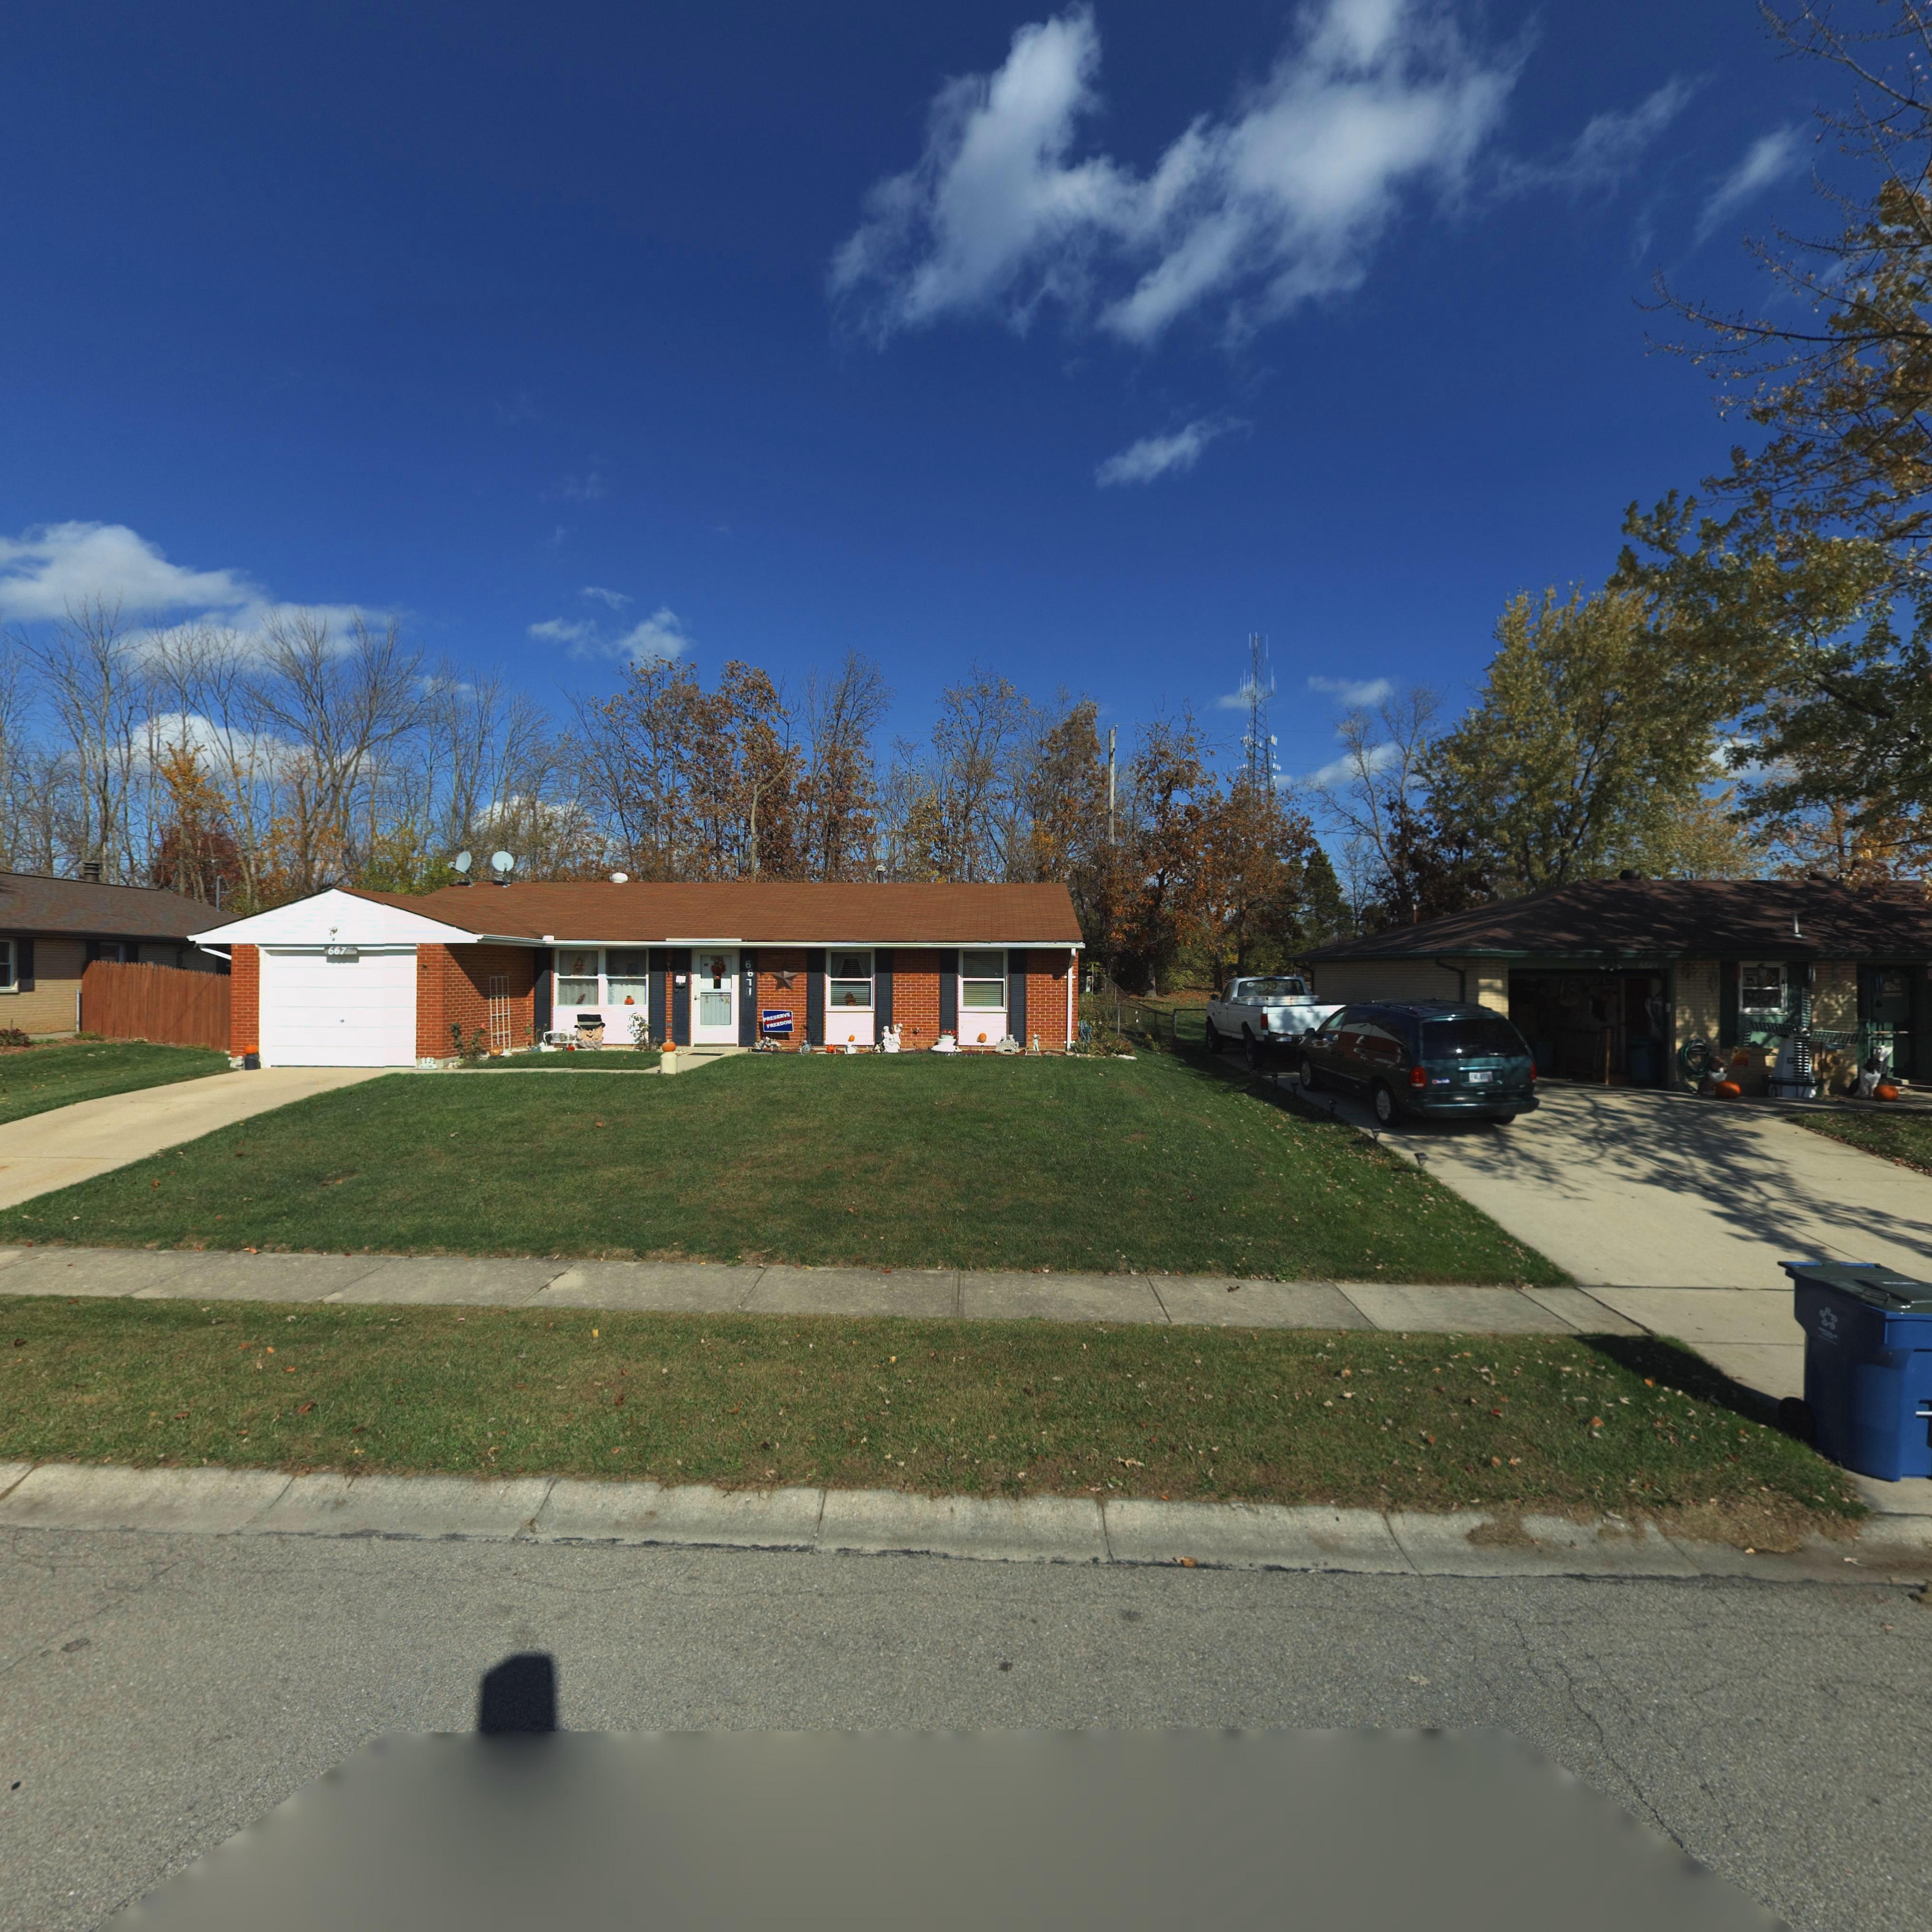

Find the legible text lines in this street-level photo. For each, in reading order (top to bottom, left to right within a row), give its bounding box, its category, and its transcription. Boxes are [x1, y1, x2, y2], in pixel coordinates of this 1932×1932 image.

[327, 946, 348, 956] StreetNumber: 667
[1638, 960, 1659, 969] StreetNumber: 6681
[745, 959, 754, 996] StreetNumber: 6671